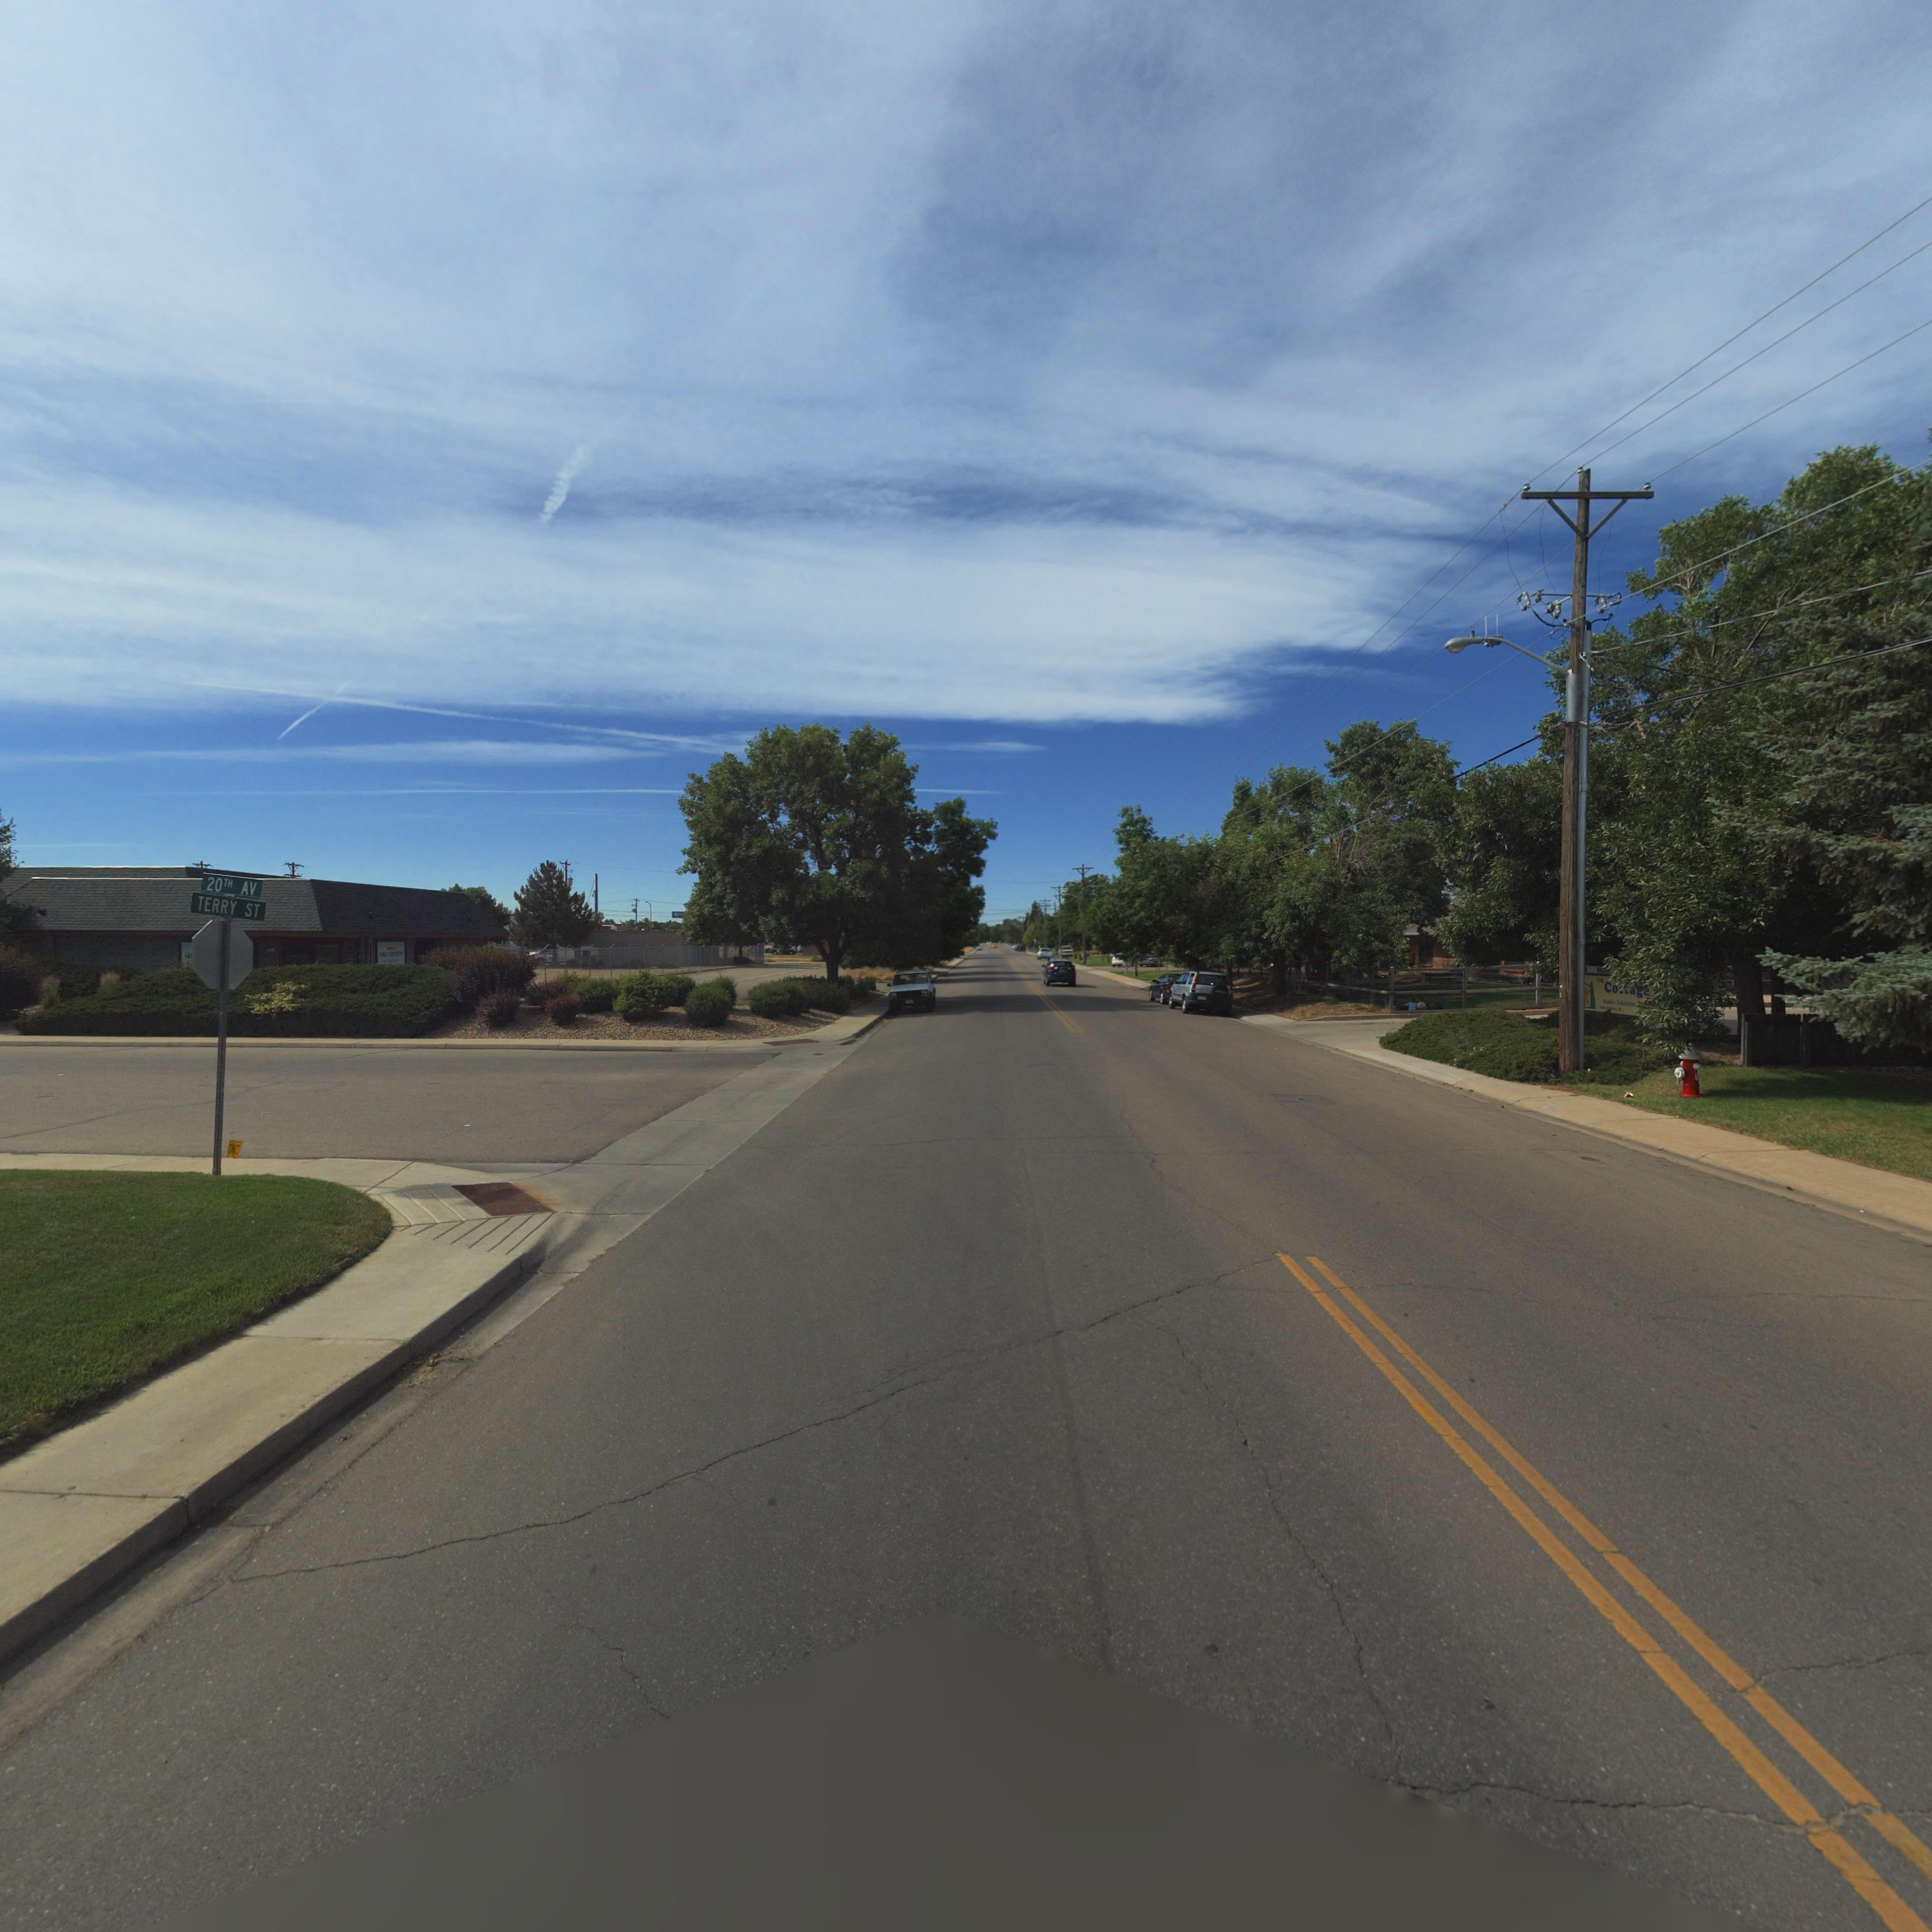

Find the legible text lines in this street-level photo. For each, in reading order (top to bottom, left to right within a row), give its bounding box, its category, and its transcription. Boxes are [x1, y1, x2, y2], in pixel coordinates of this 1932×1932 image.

[206, 876, 257, 896] StreetName: 20TH AV
[197, 895, 261, 918] StreetName: TERRY ST
[378, 951, 403, 957] BusinessName: FAMILY DENTISTRY
[386, 946, 396, 950] BusinessName: H****
[1596, 977, 1604, 983] BusinessName: THE
[1604, 980, 1650, 999] BusinessName: Co**ag*